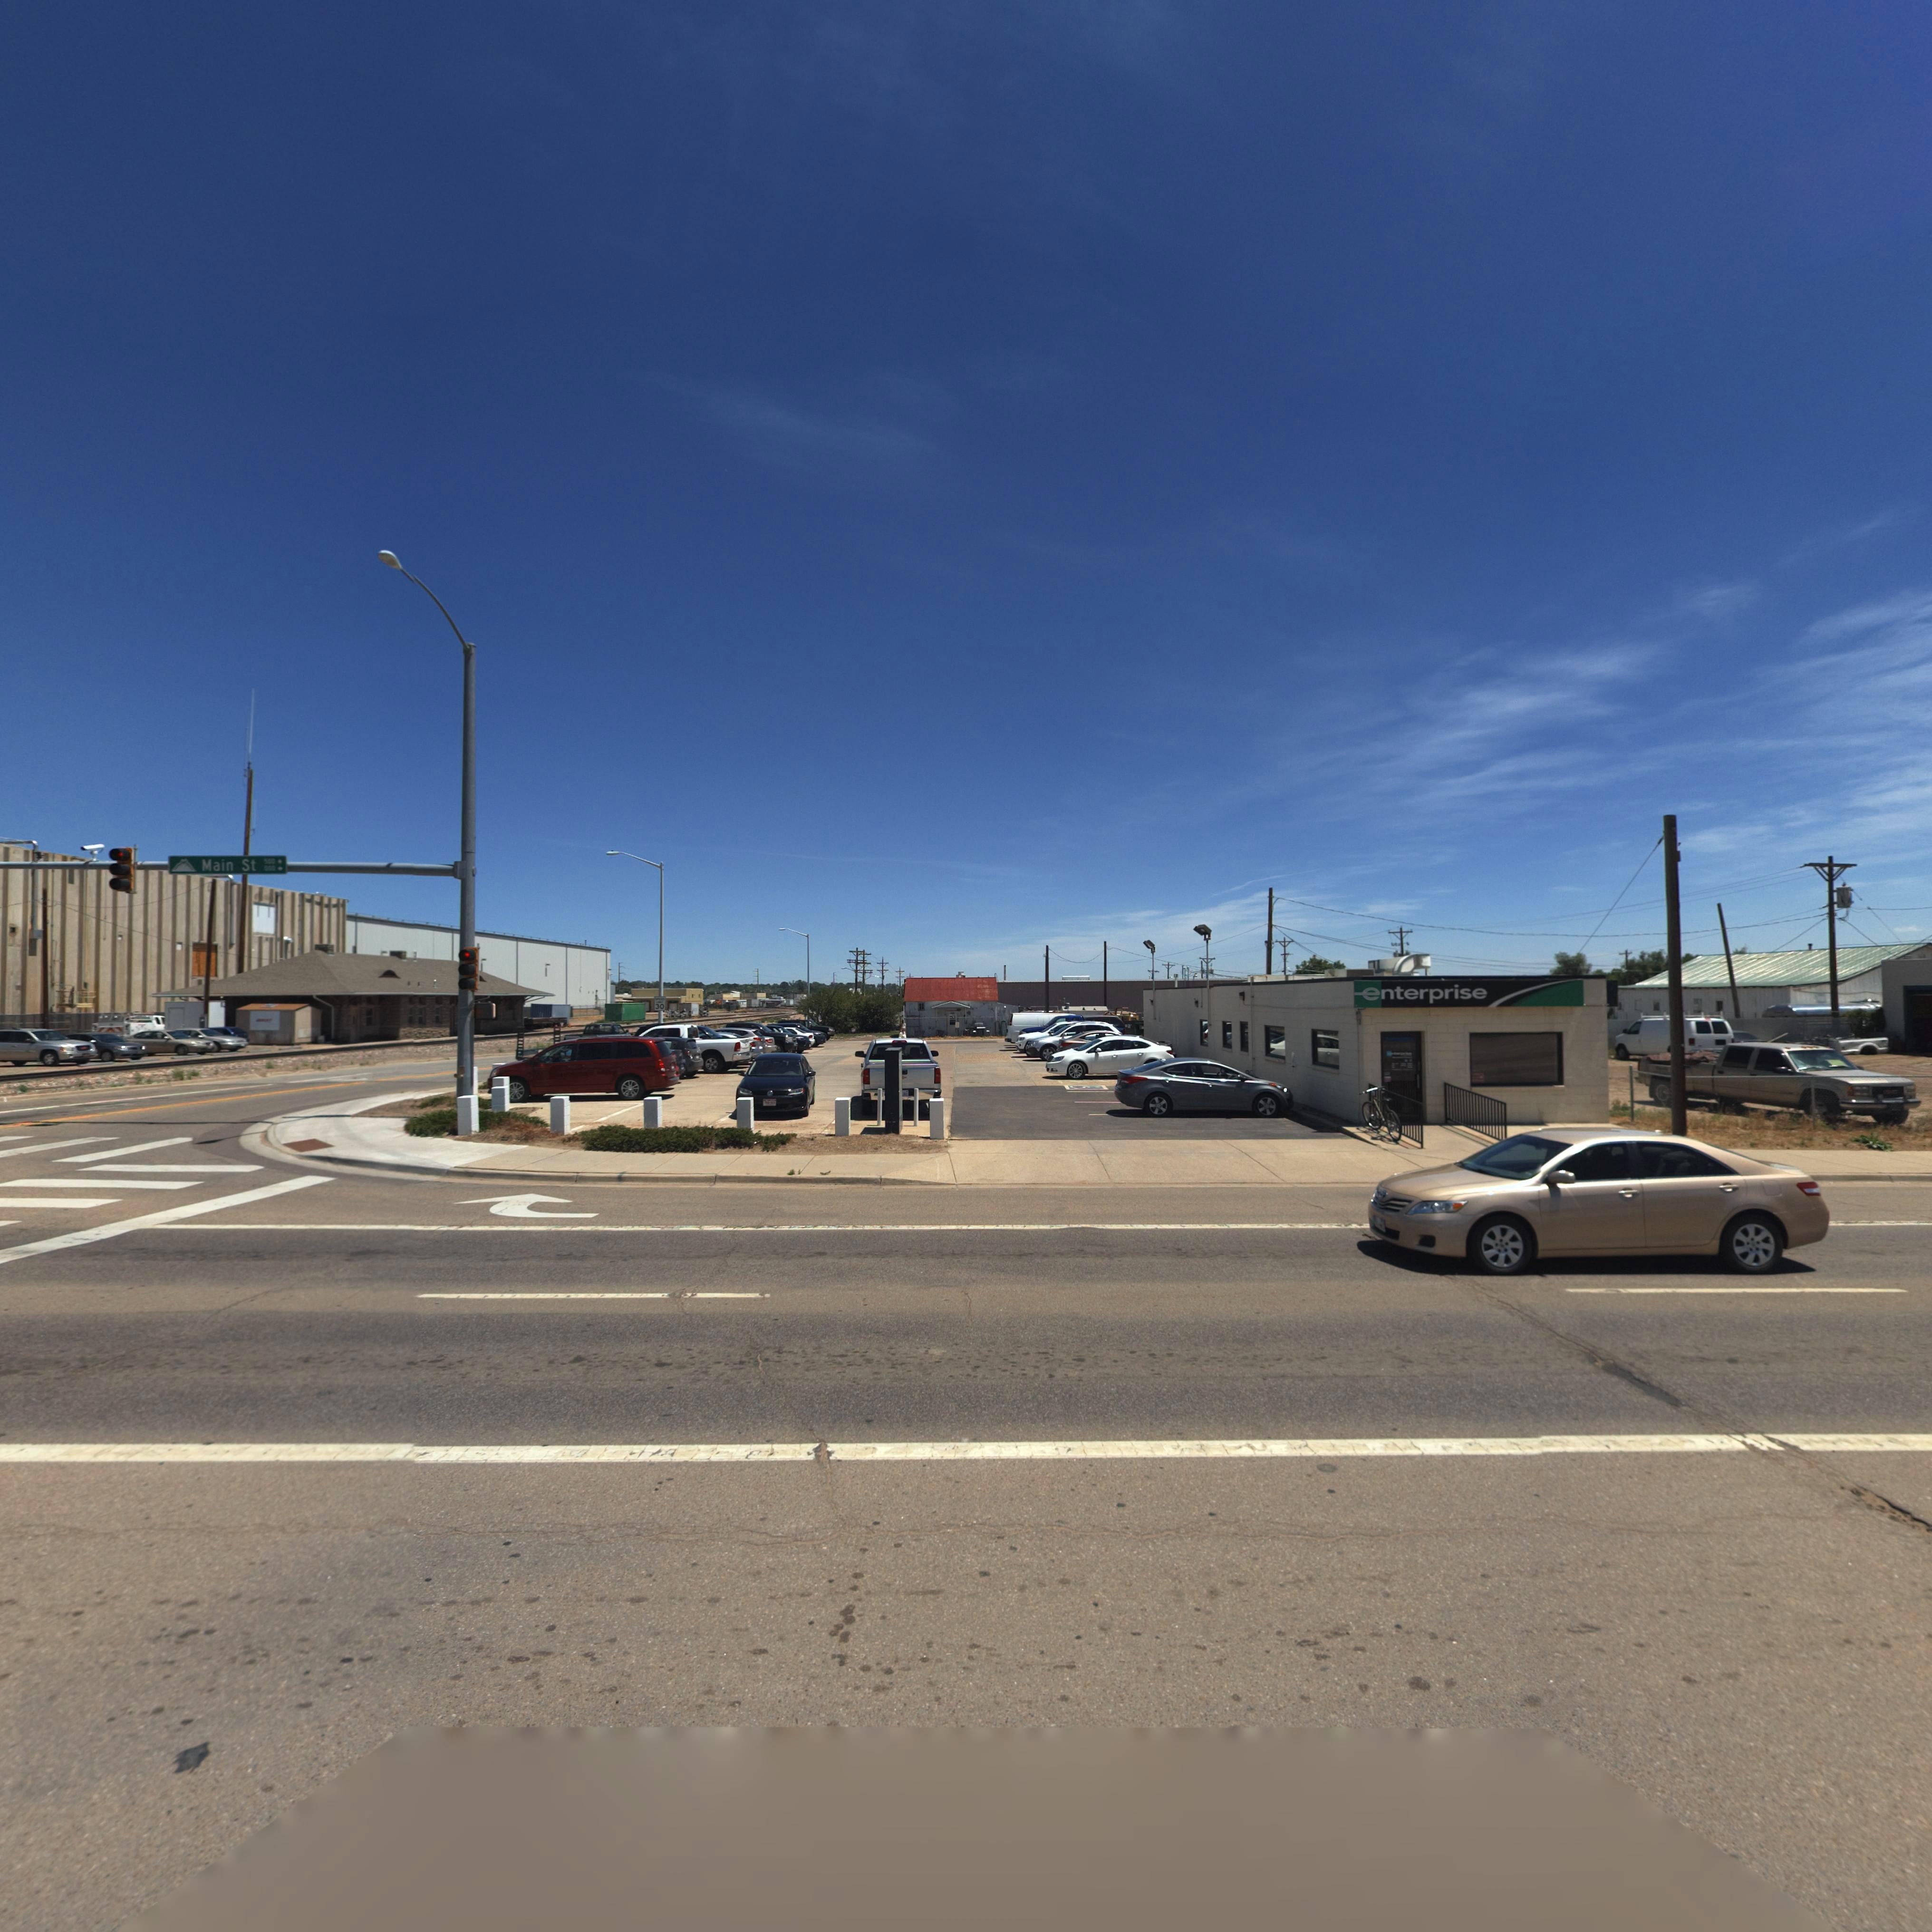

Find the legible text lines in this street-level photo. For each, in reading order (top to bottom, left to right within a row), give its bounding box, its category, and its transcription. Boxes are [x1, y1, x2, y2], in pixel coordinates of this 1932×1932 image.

[200, 857, 256, 872] StreetName: Main St
[263, 858, 276, 864] StreetNumberRange: 500
[1361, 984, 1490, 1004] BusinessName: enterprise